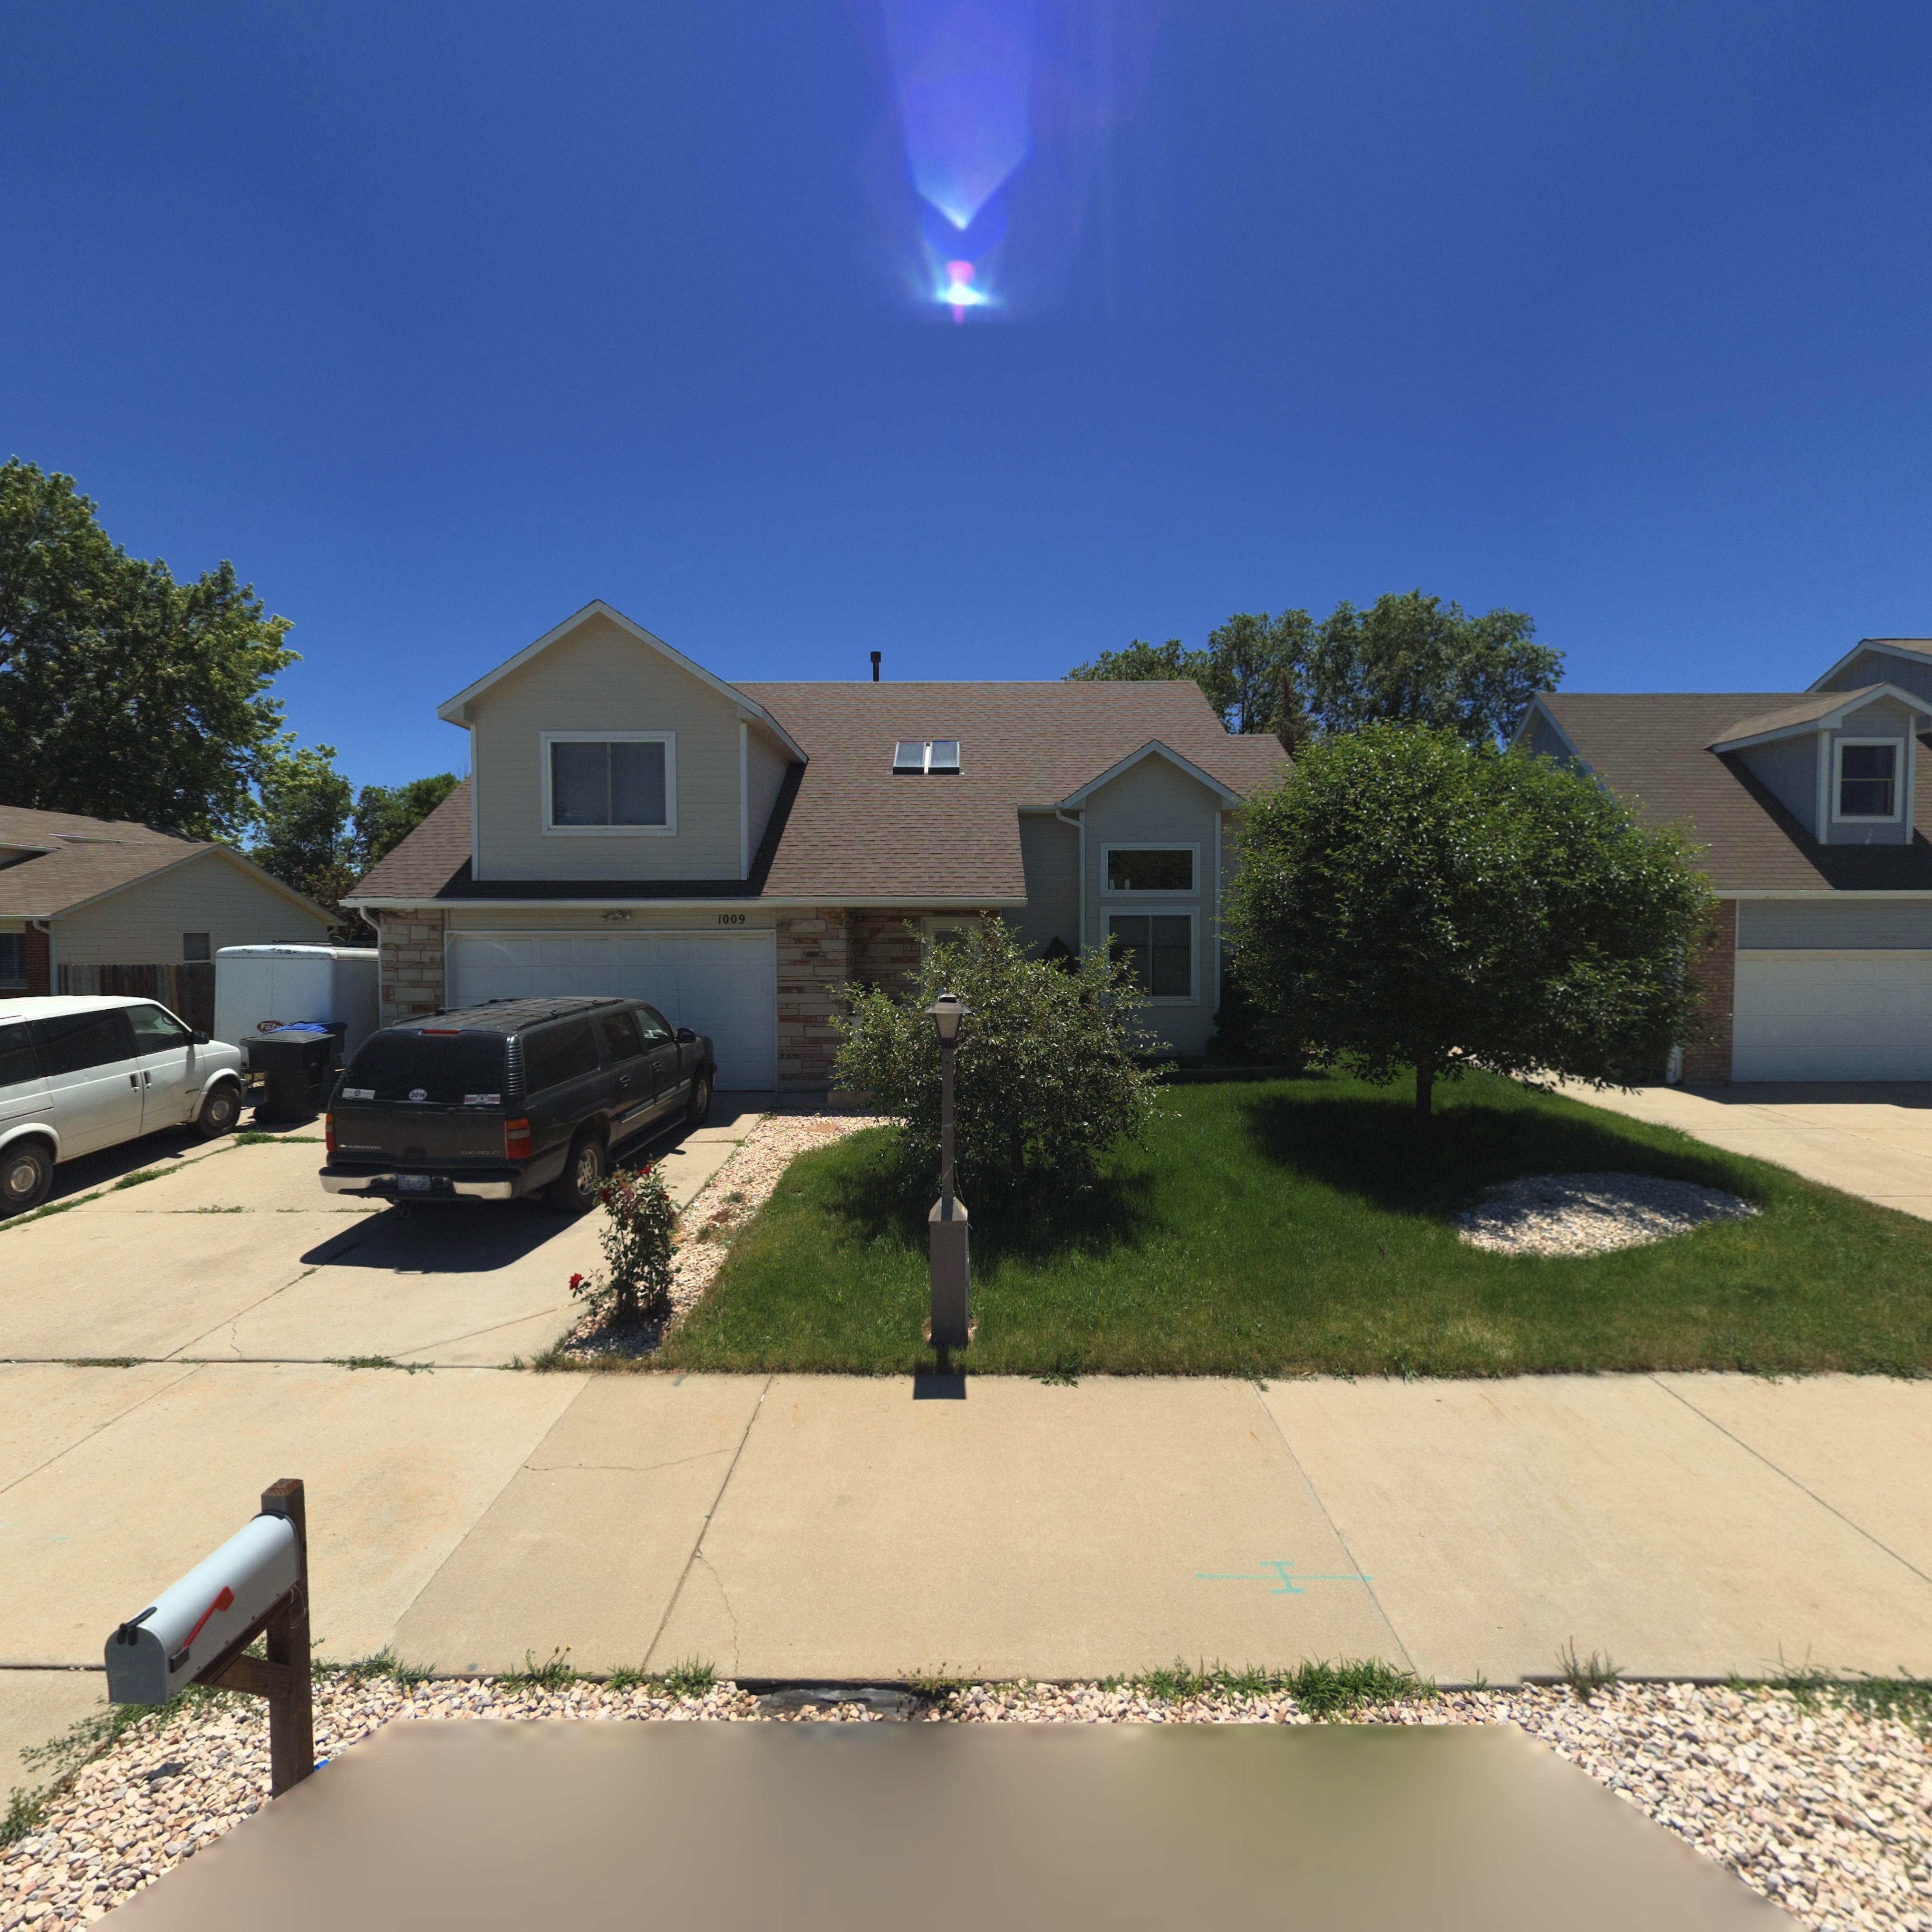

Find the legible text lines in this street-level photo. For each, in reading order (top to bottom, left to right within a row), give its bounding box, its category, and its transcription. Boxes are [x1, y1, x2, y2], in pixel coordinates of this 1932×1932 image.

[716, 913, 745, 924] StreetNumber: 1009